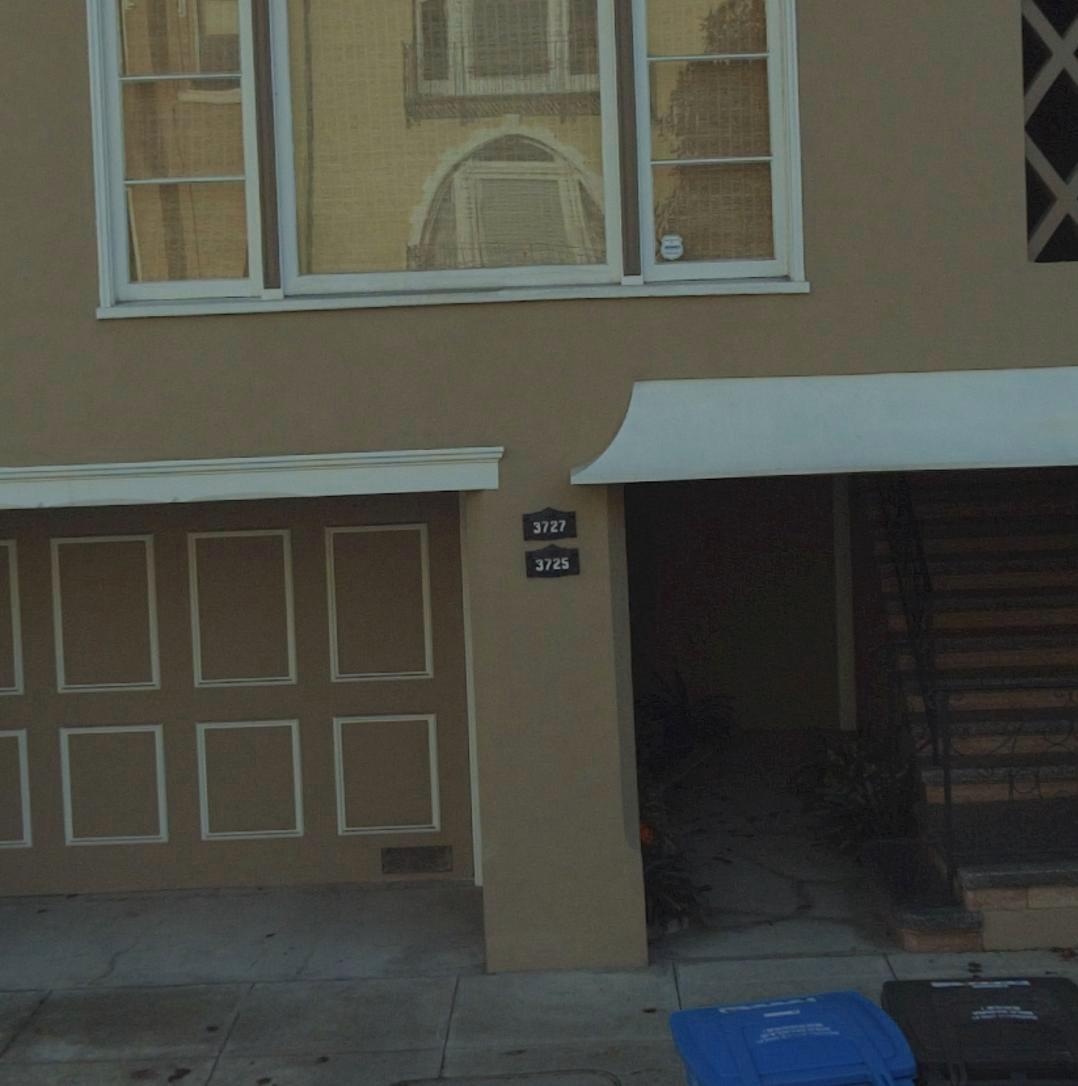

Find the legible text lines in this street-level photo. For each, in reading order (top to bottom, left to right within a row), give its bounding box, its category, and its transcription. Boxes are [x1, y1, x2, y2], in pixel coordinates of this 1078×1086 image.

[530, 517, 570, 537] StreetNumber: 3727
[533, 554, 572, 574] StreetNumber: 3725